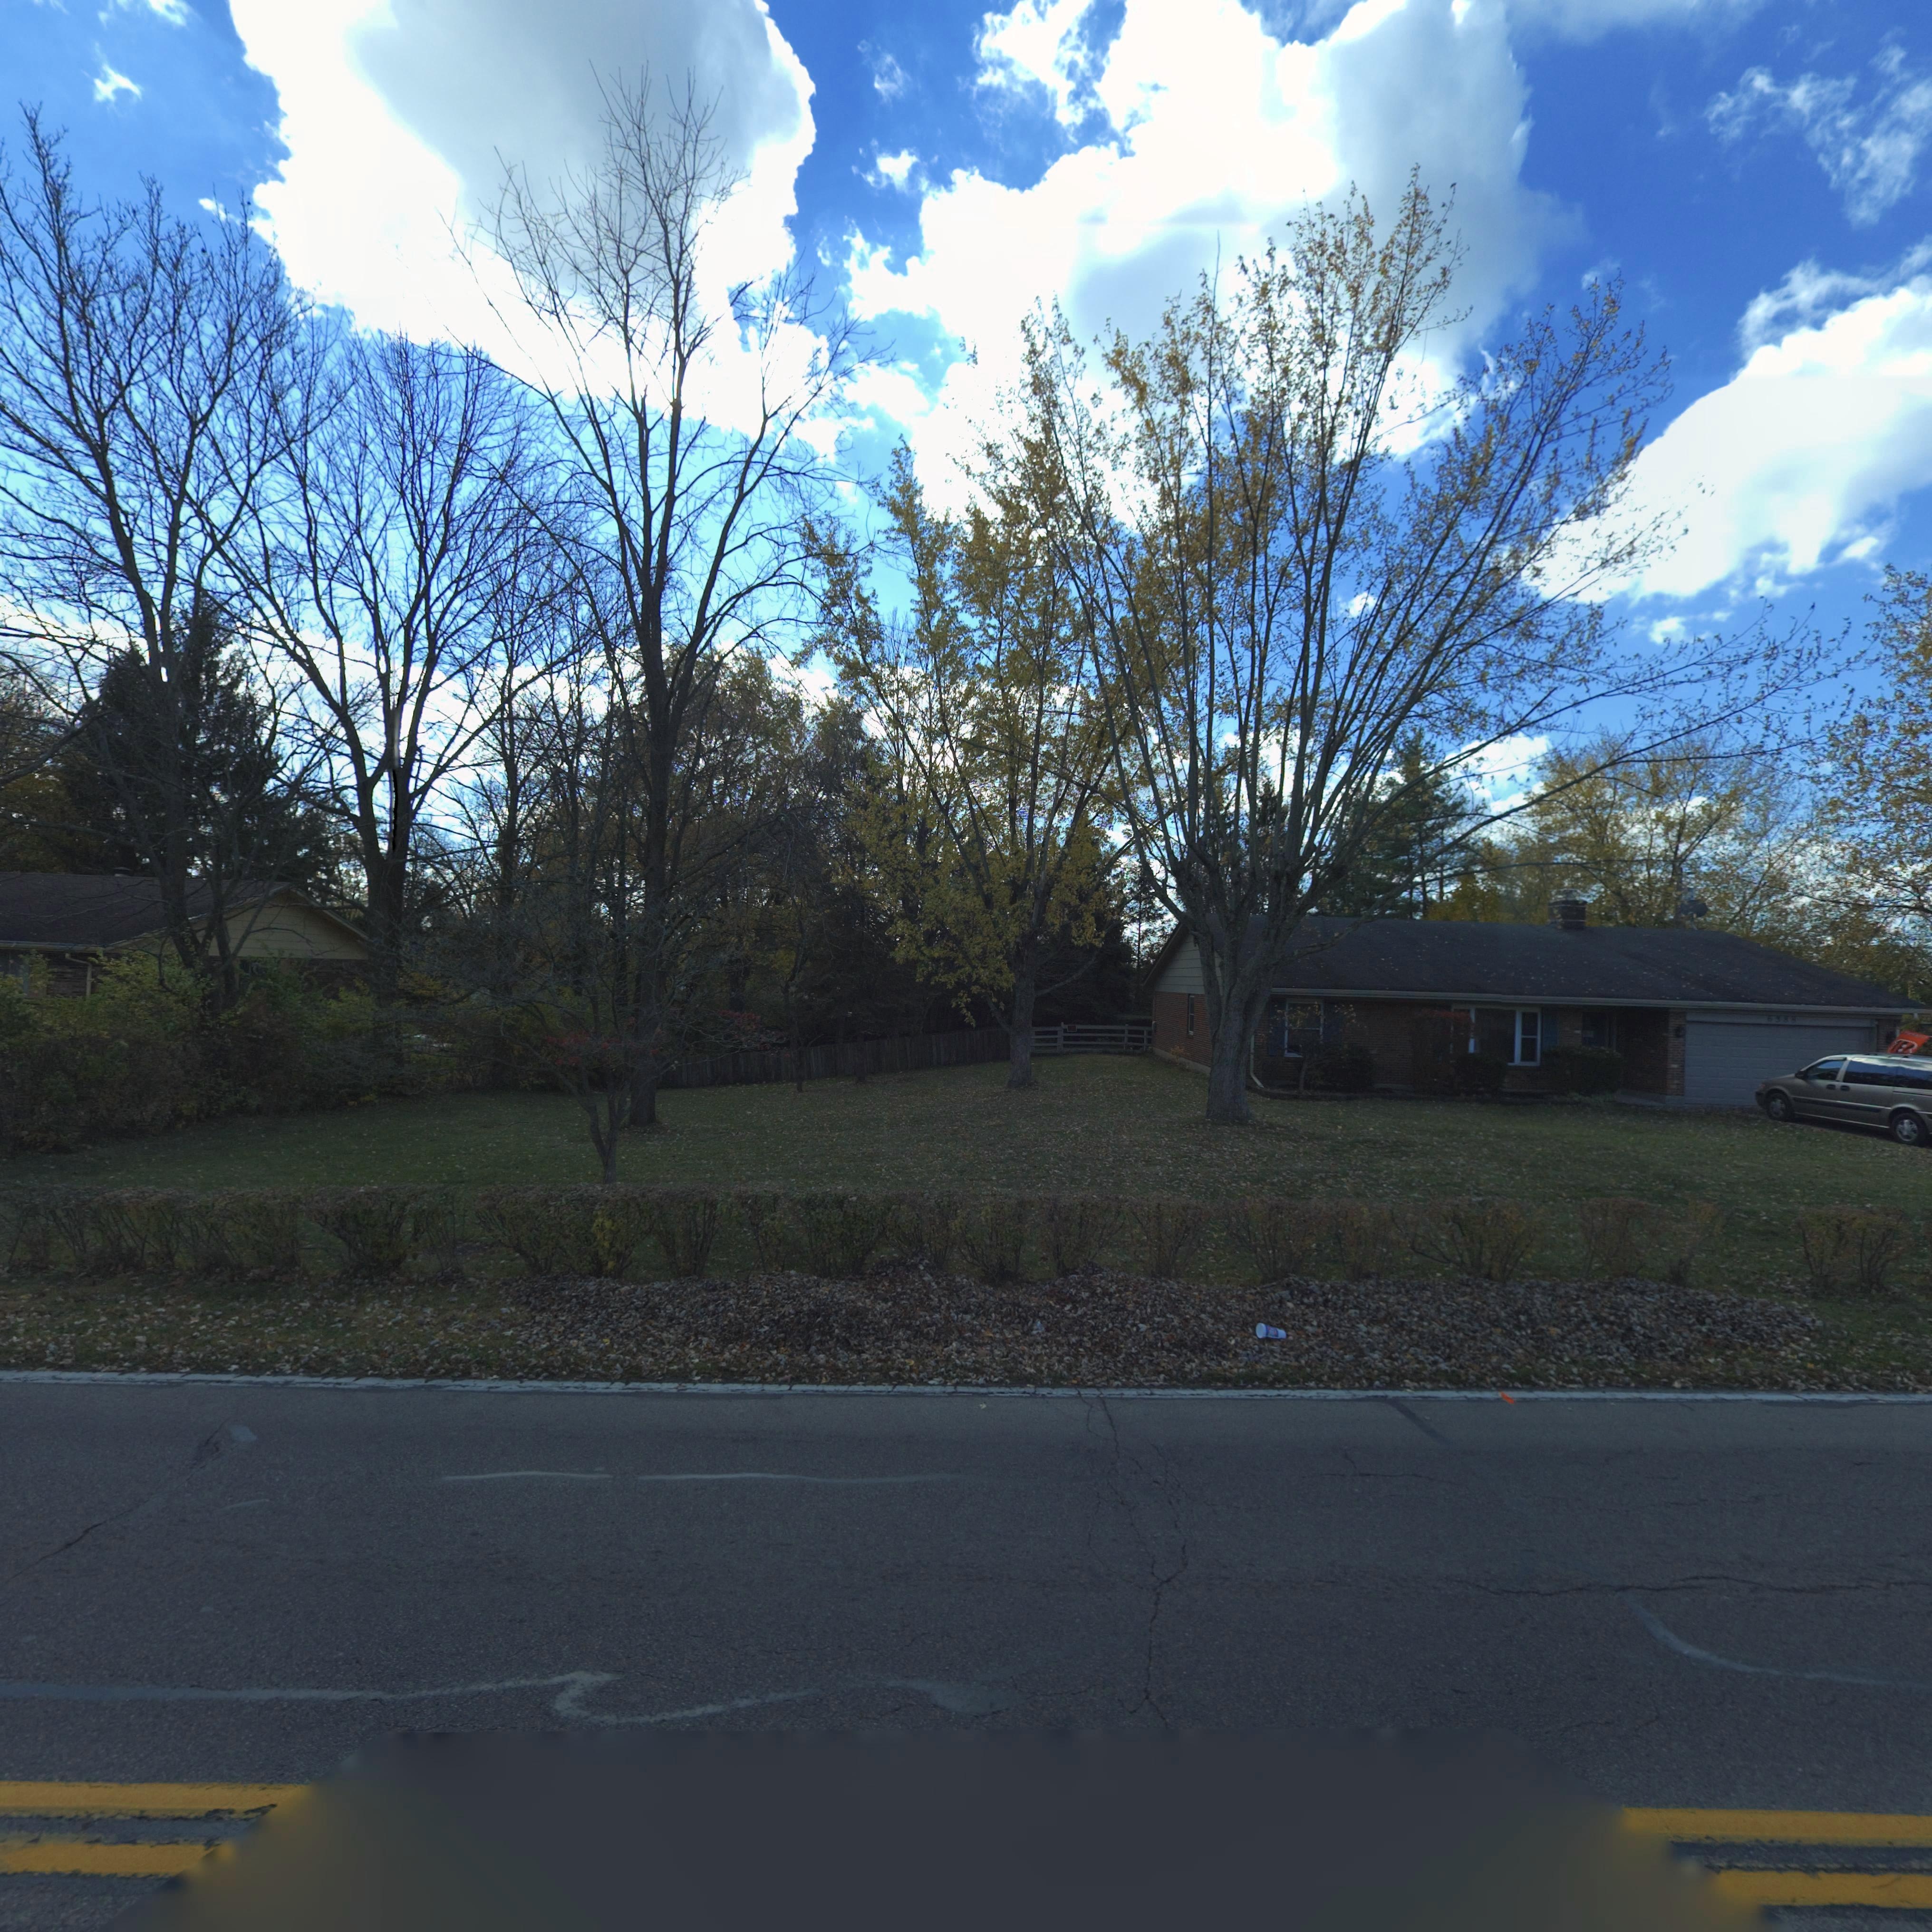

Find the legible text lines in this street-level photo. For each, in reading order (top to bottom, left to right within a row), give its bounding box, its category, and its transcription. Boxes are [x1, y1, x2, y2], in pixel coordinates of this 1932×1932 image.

[1767, 1014, 1797, 1023] StreetNumber: 6388